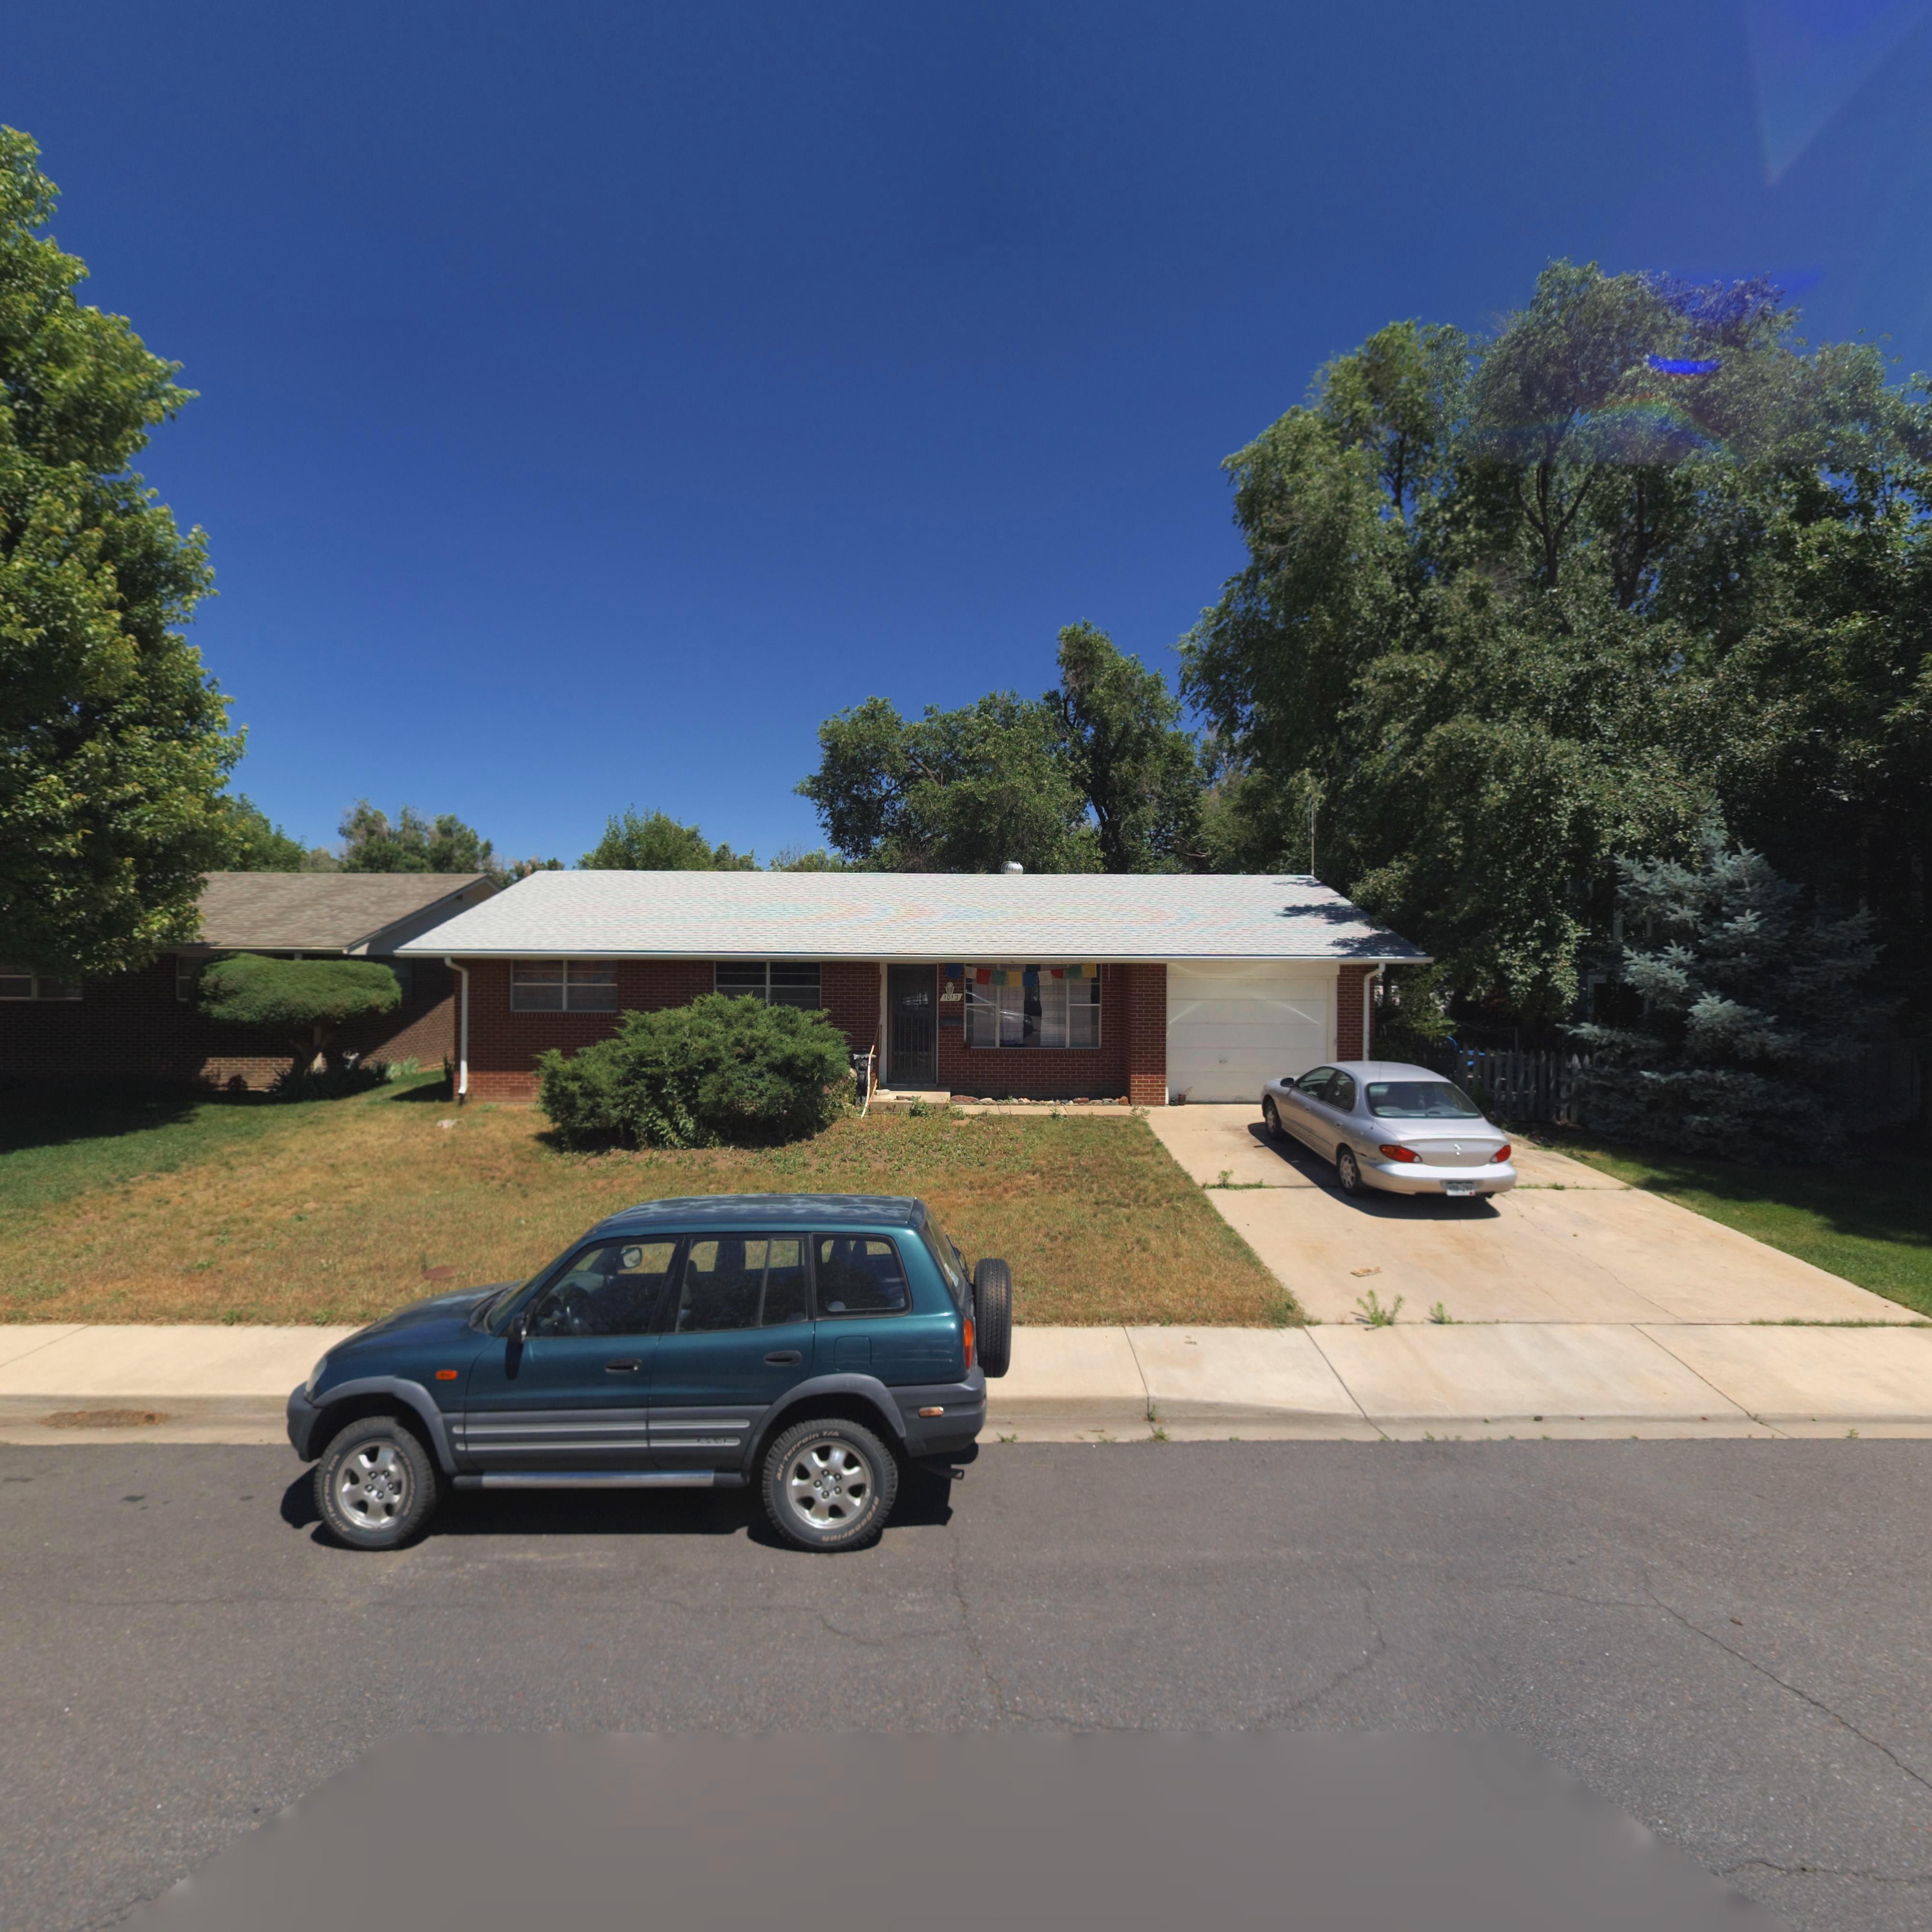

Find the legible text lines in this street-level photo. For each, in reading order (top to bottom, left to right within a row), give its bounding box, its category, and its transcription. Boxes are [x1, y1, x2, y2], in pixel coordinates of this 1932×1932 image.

[943, 994, 958, 1000] StreetNumber: 1012